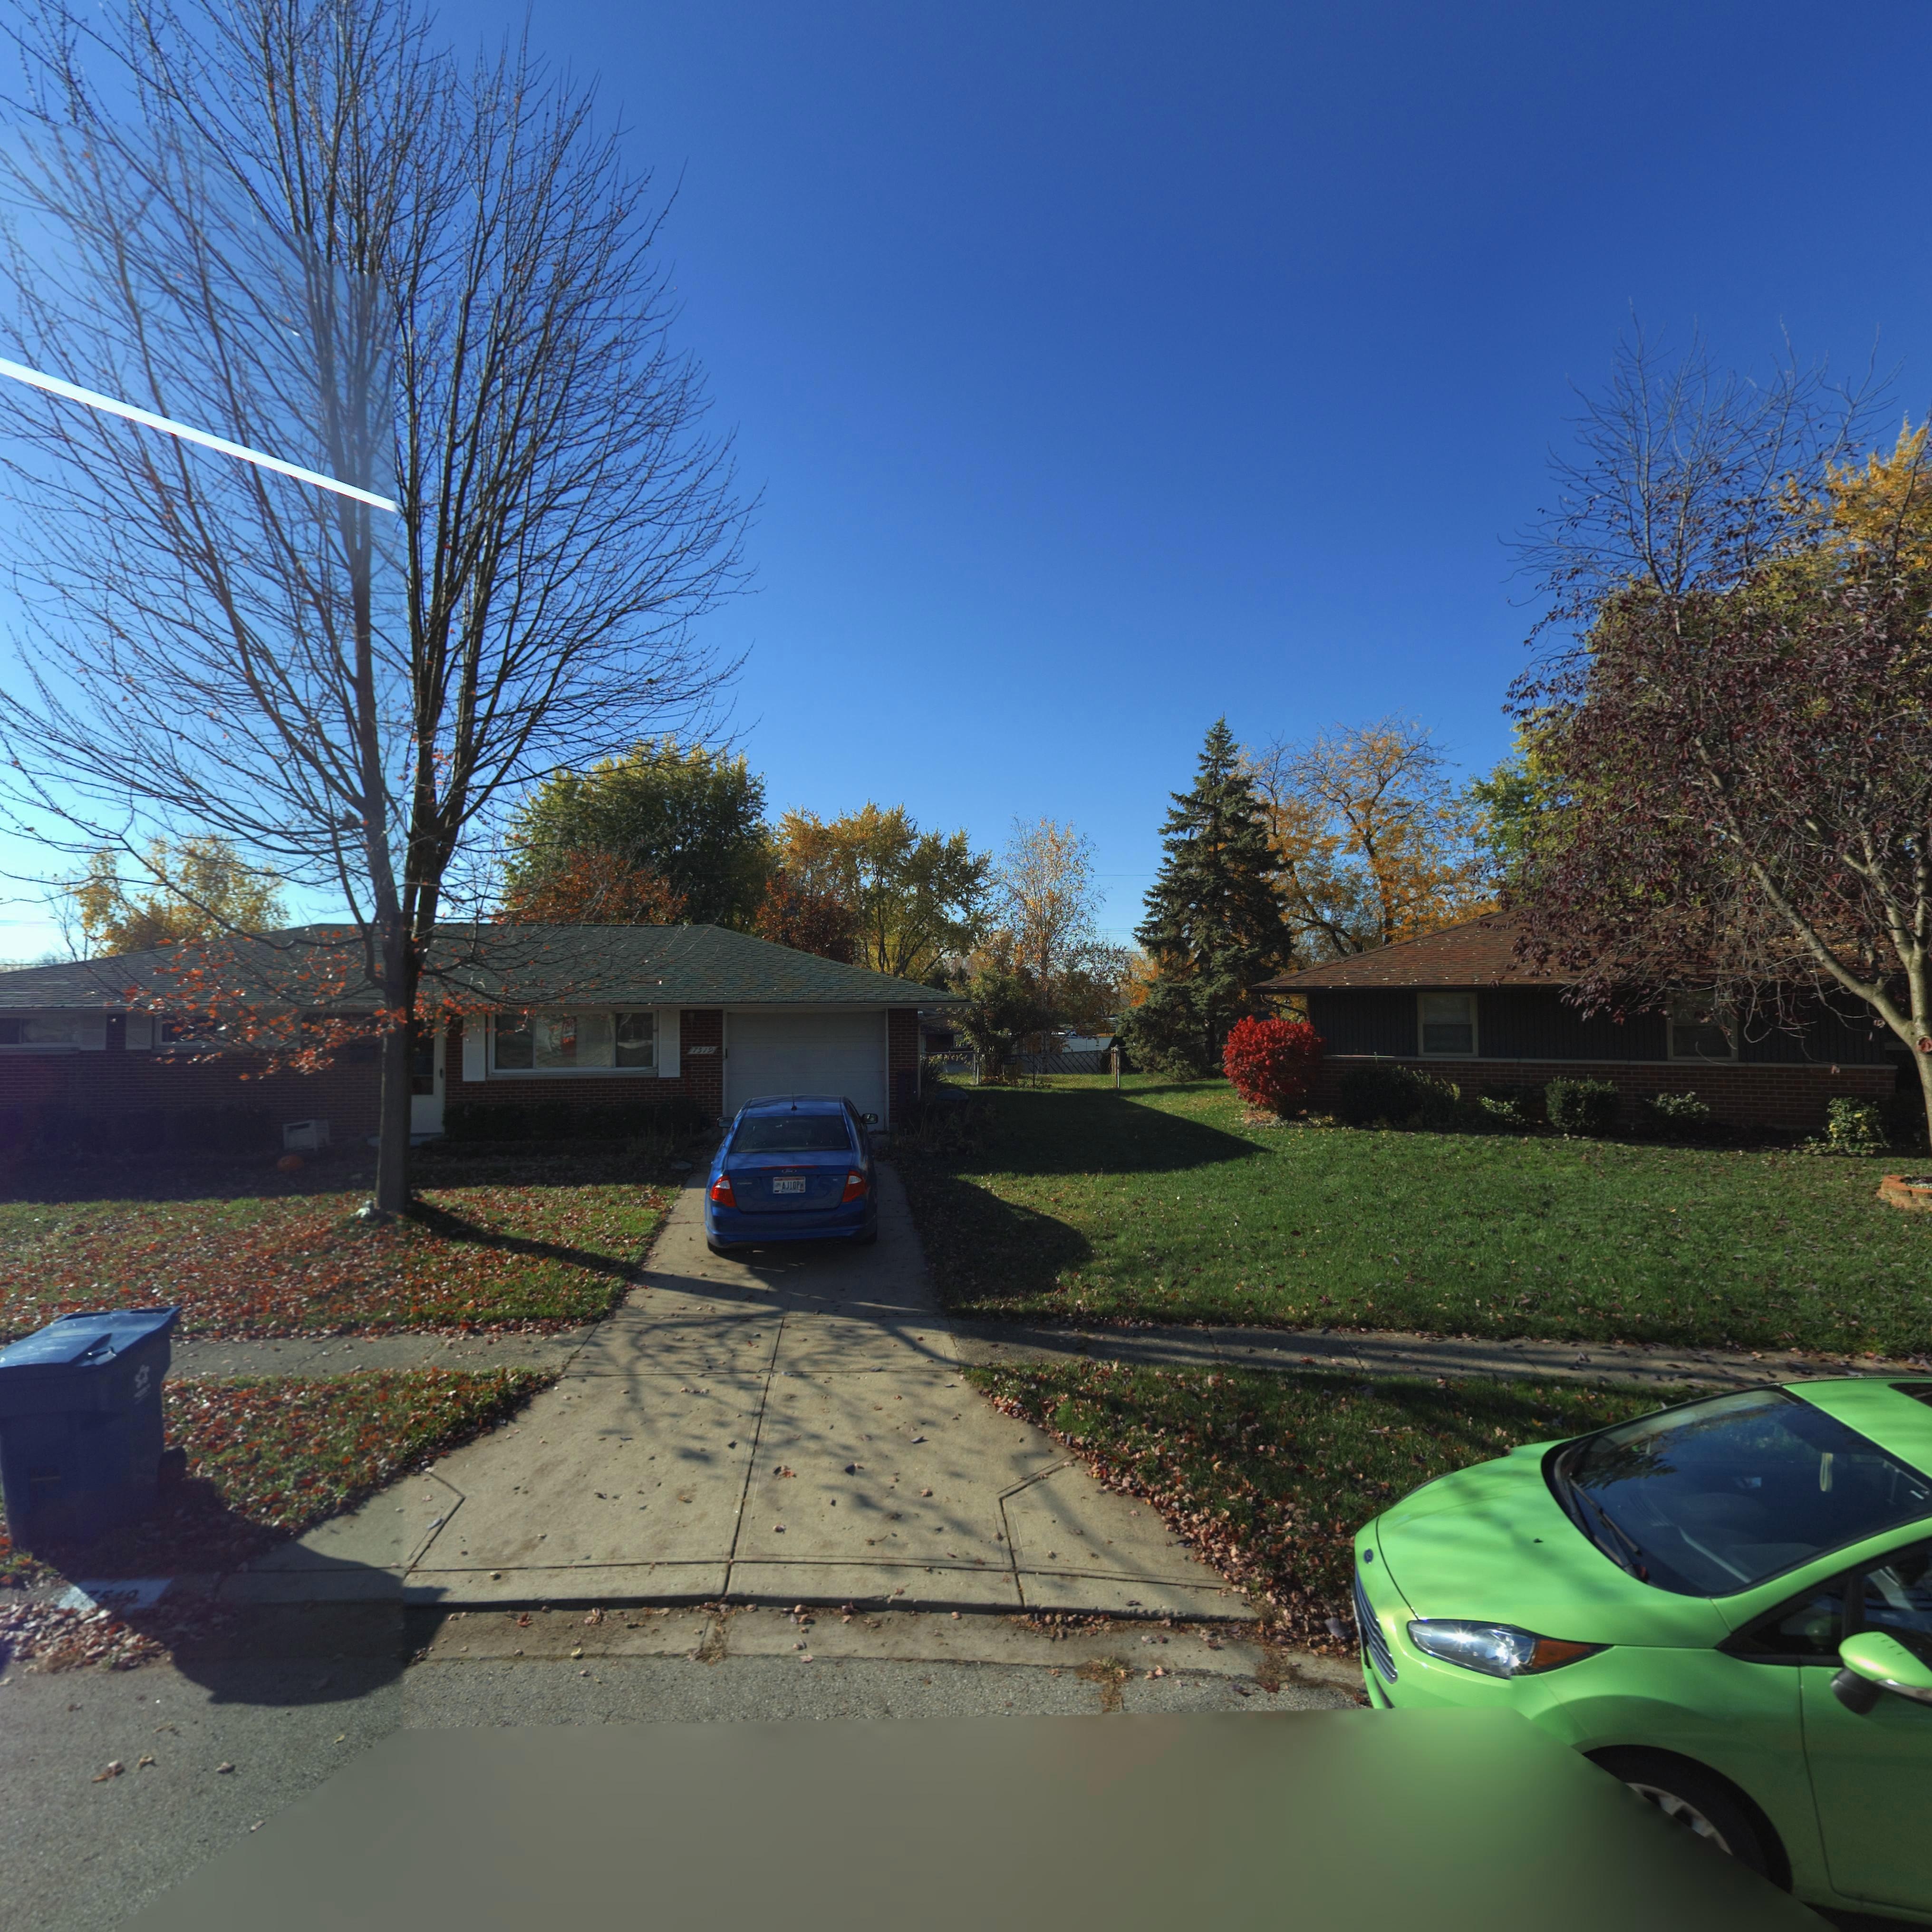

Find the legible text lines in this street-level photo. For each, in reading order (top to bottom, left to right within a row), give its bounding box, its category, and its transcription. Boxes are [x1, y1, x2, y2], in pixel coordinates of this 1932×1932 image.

[692, 1046, 715, 1054] StreetNumber: 7519
[77, 1586, 141, 1609] StreetNumber: 7***